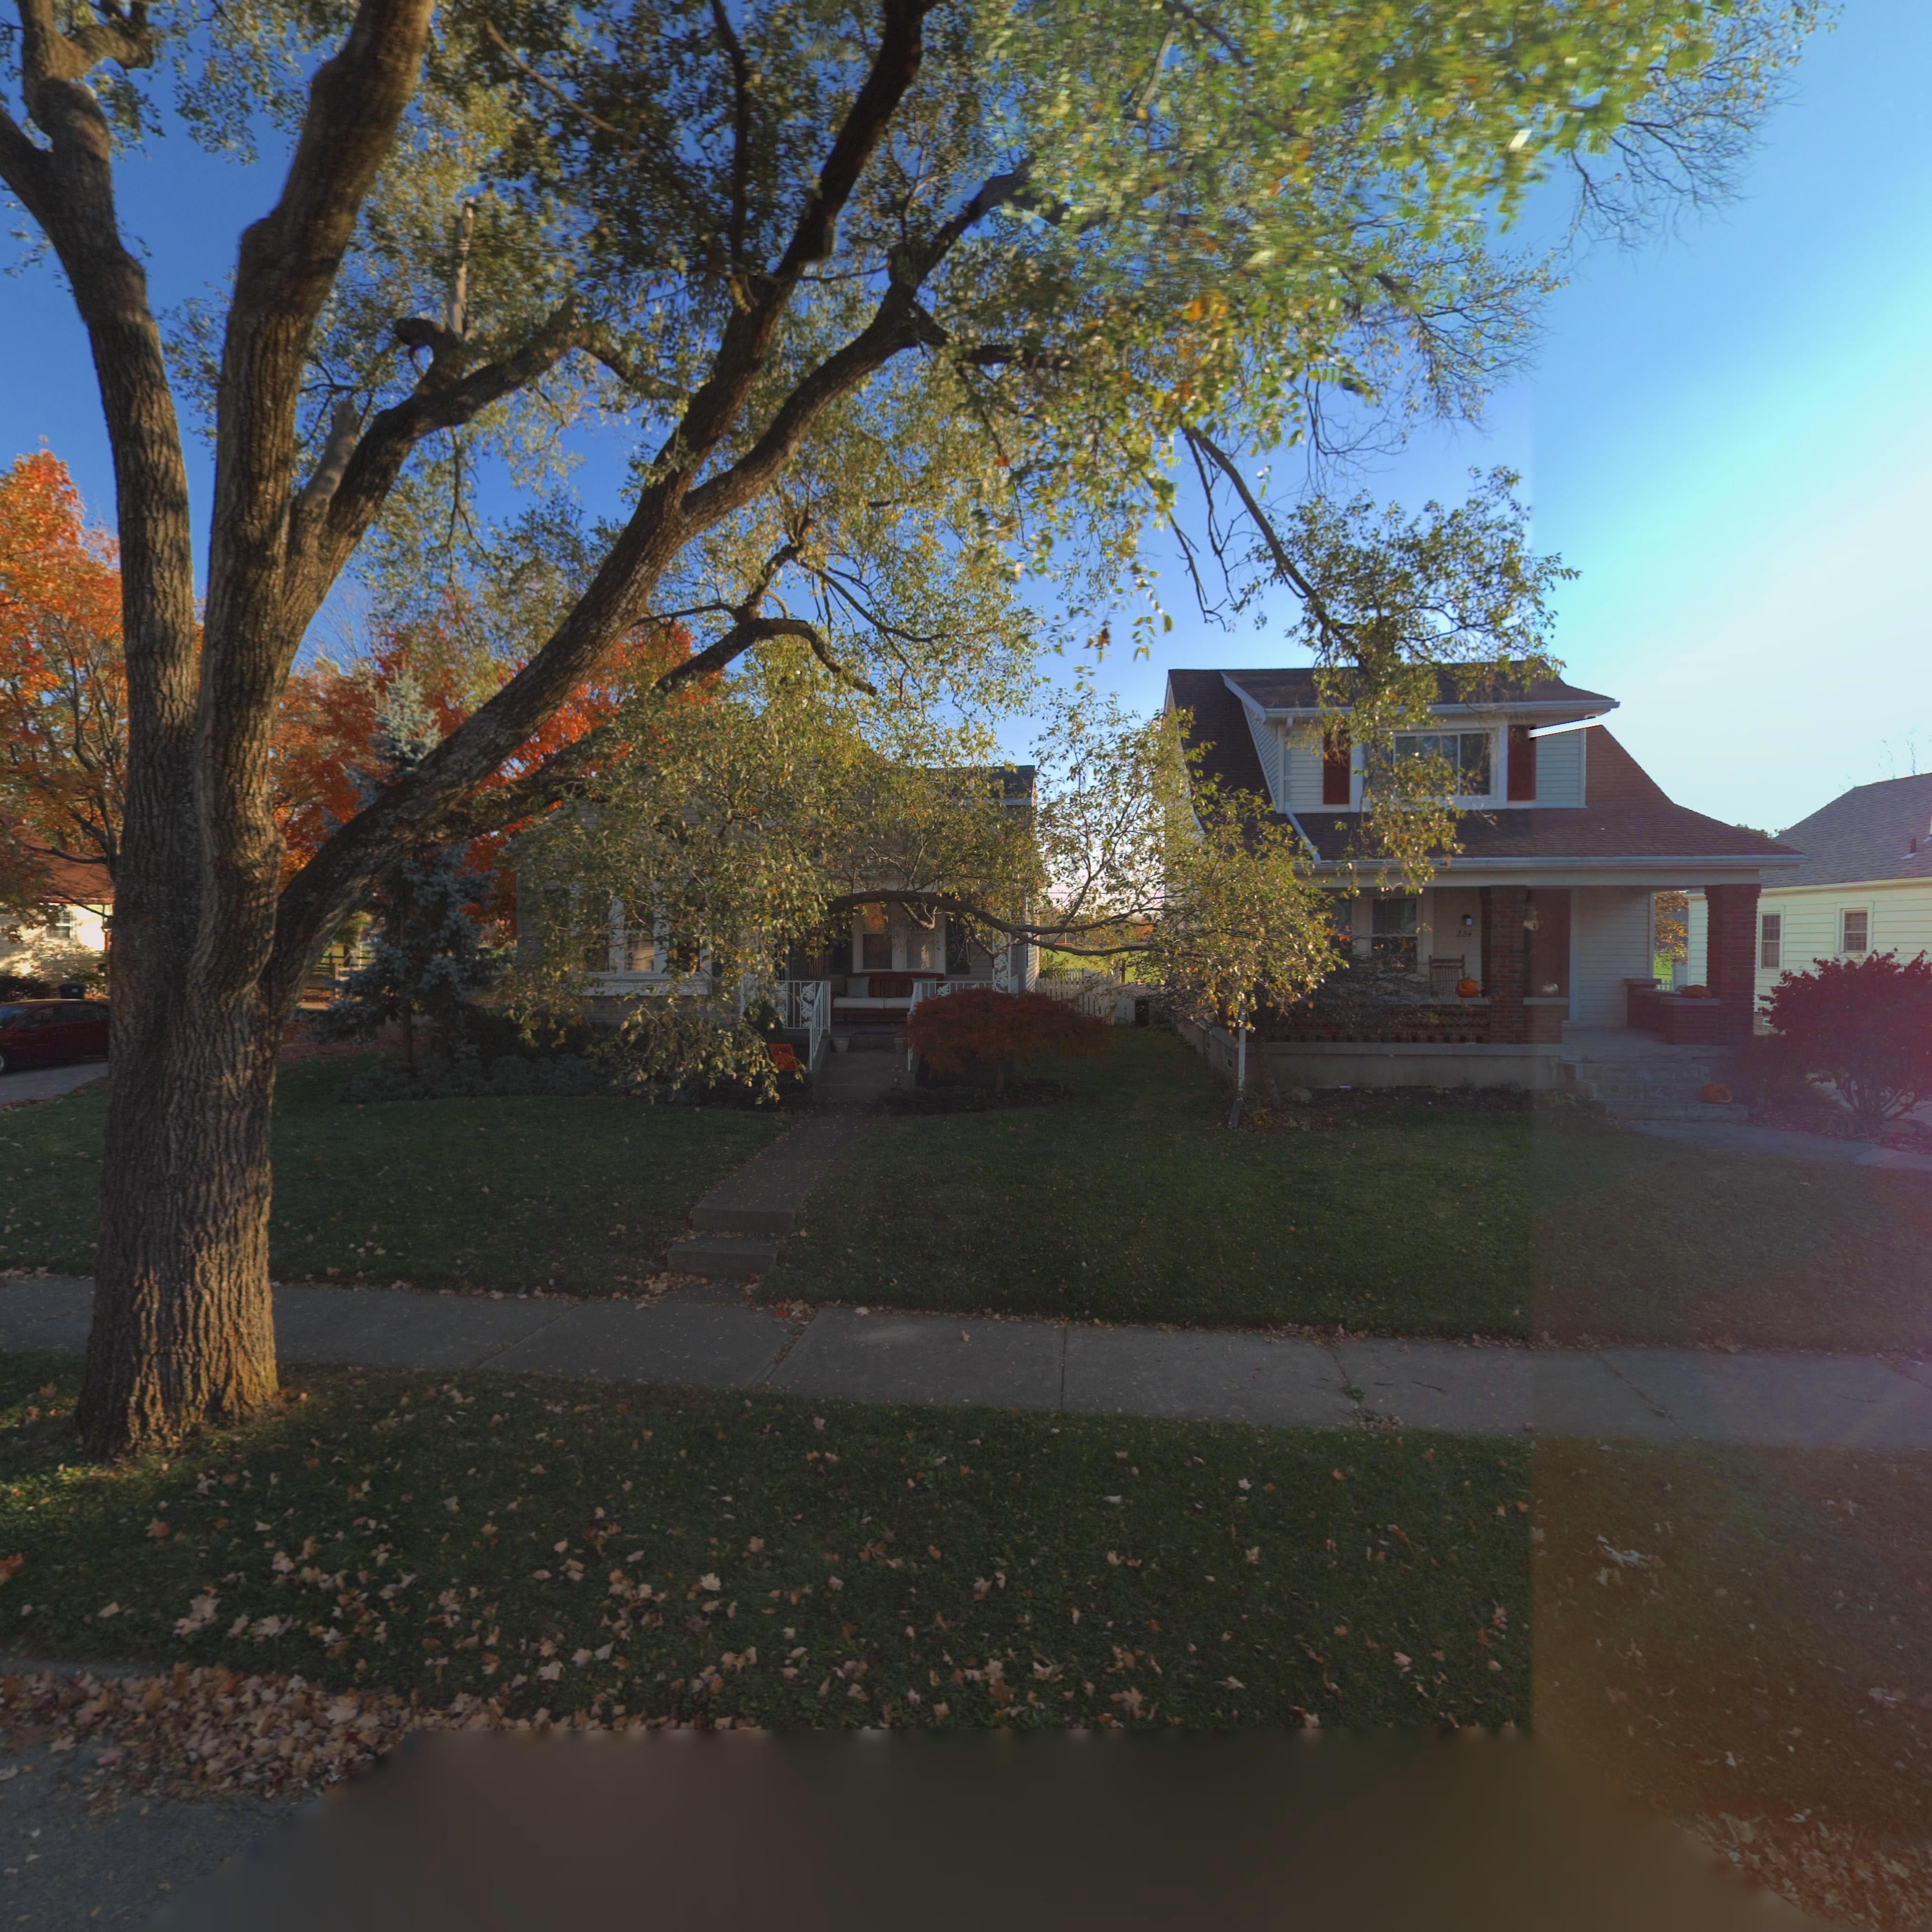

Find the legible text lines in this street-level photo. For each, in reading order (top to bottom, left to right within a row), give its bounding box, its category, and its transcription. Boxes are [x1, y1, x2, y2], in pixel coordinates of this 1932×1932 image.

[1456, 930, 1472, 937] StreetNumber: 224